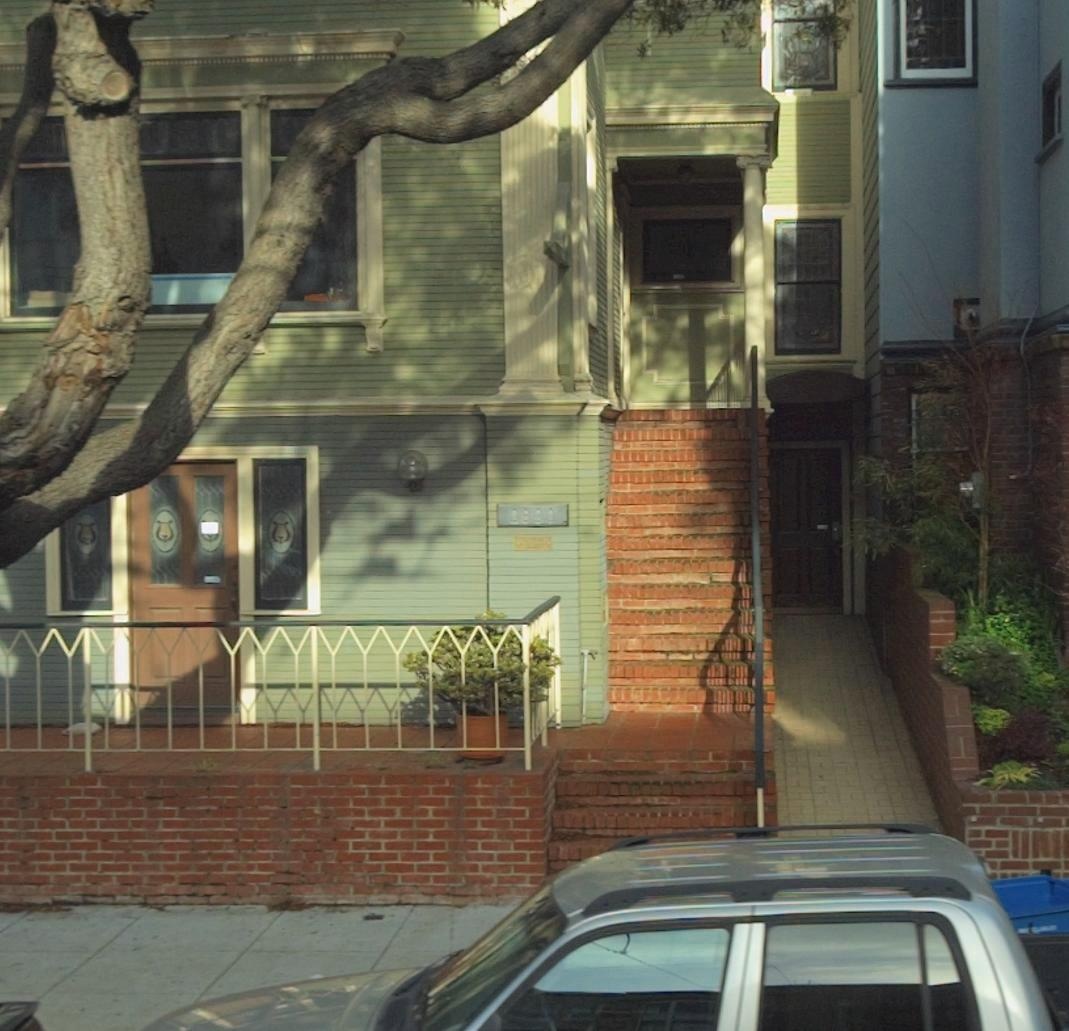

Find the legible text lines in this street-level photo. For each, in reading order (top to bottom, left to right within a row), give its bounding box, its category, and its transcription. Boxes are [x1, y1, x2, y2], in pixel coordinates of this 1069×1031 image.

[507, 506, 557, 526] StreetNumber: 28**